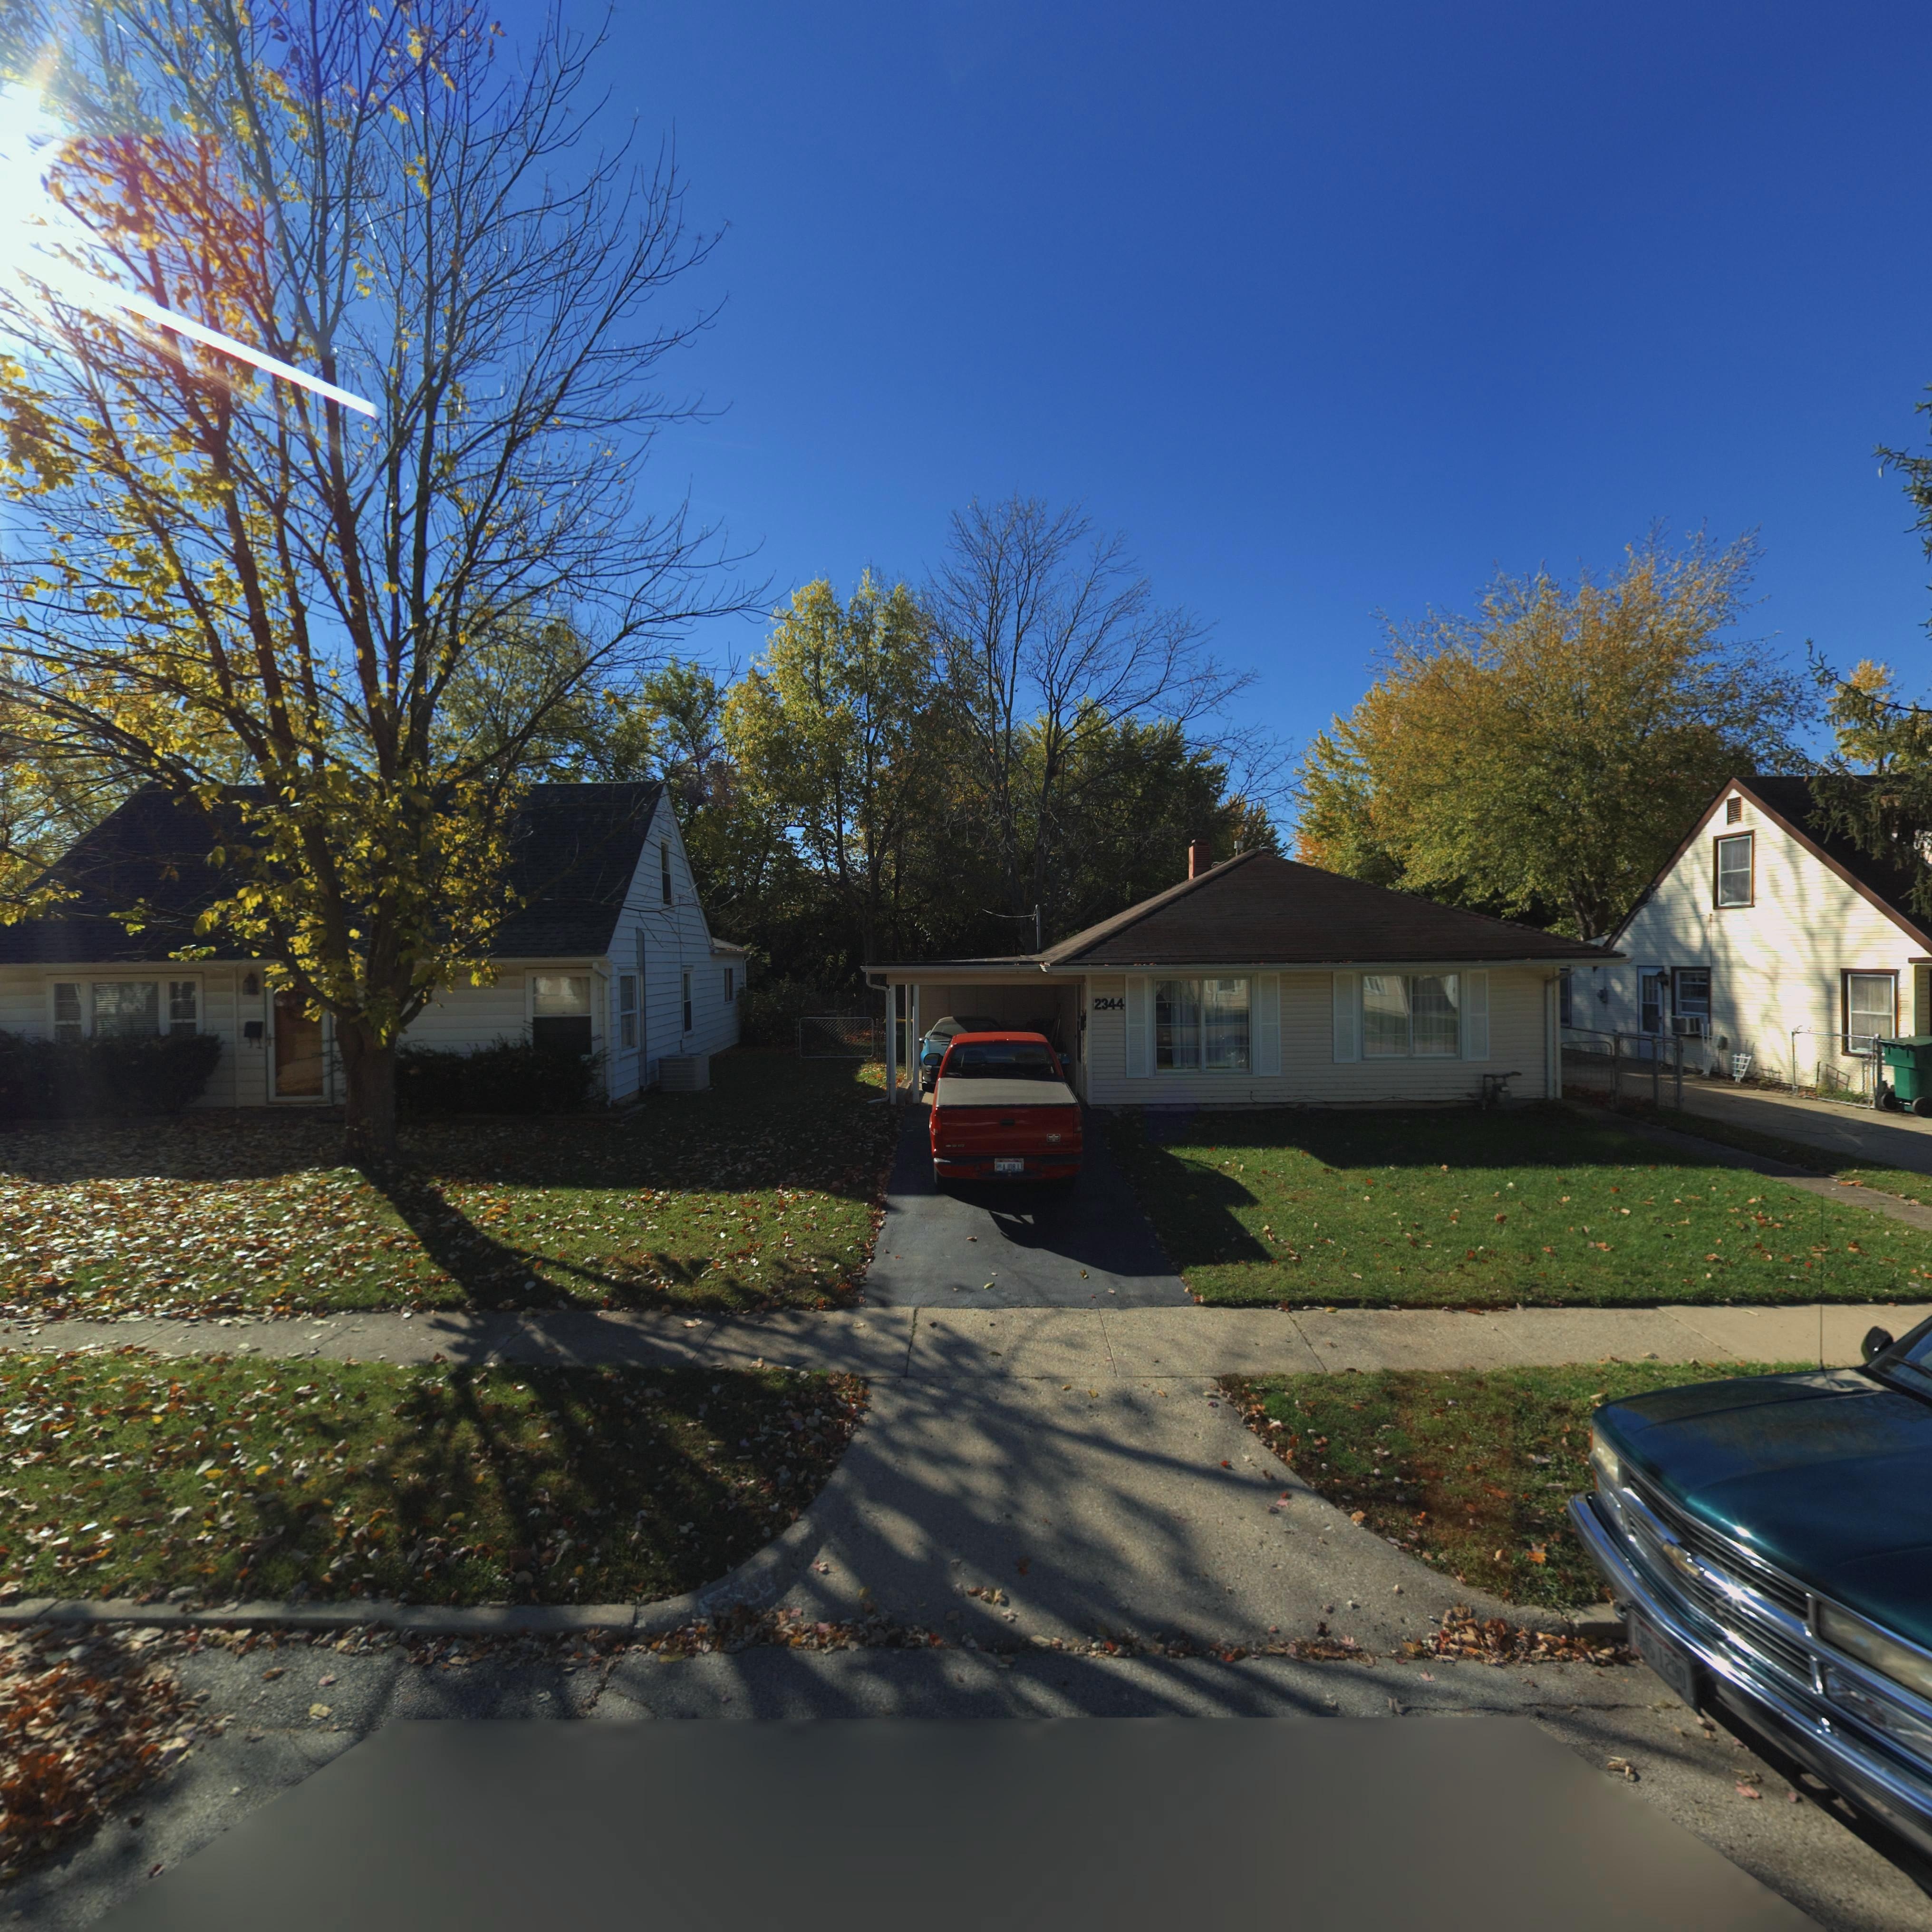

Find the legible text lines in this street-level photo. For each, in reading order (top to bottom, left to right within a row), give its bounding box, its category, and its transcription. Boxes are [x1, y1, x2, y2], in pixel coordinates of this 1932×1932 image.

[1093, 997, 1125, 1010] StreetNumber: 2344